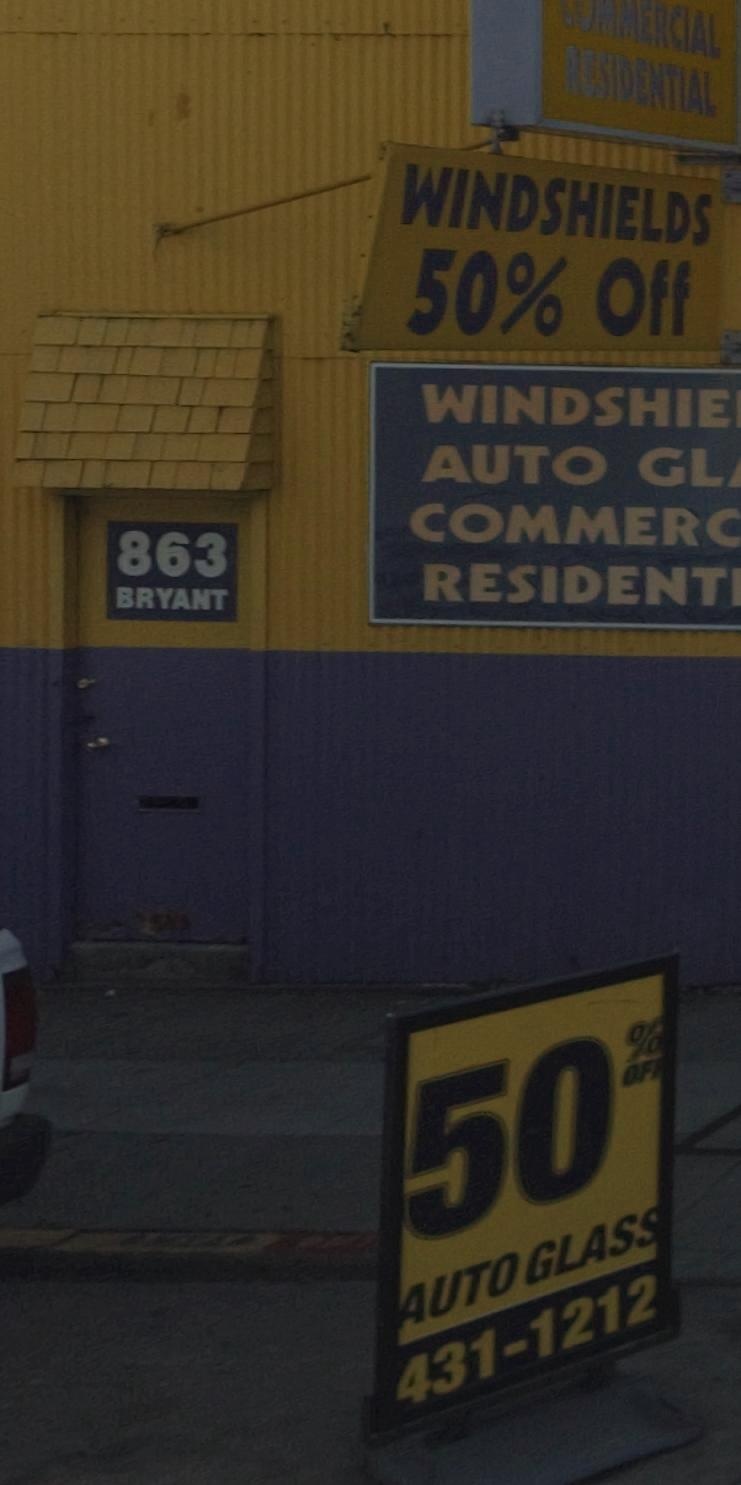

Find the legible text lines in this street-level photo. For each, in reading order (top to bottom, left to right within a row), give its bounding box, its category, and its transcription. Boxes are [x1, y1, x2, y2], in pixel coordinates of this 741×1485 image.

[663, 1, 727, 64] None: CIAL
[556, 37, 721, 124] None: RESIDENTIAL
[396, 154, 722, 251] None: WINDSHIELDS
[400, 242, 696, 345] None: 50% Off
[412, 375, 733, 435] None: WINDSHIE
[413, 440, 735, 491] None: AUTO GL
[114, 525, 234, 583] StreetNumber: 863
[400, 497, 710, 554] None: COMMER
[109, 579, 233, 617] StreetName: BRYANT
[415, 558, 734, 614] None: RESIDENT
[623, 1007, 667, 1071] None: %
[619, 1056, 656, 1091] None: OF
[398, 1021, 627, 1256] None: 50
[390, 1199, 667, 1337] None: AUTO GLASS
[390, 1263, 664, 1423] None: 431-1212